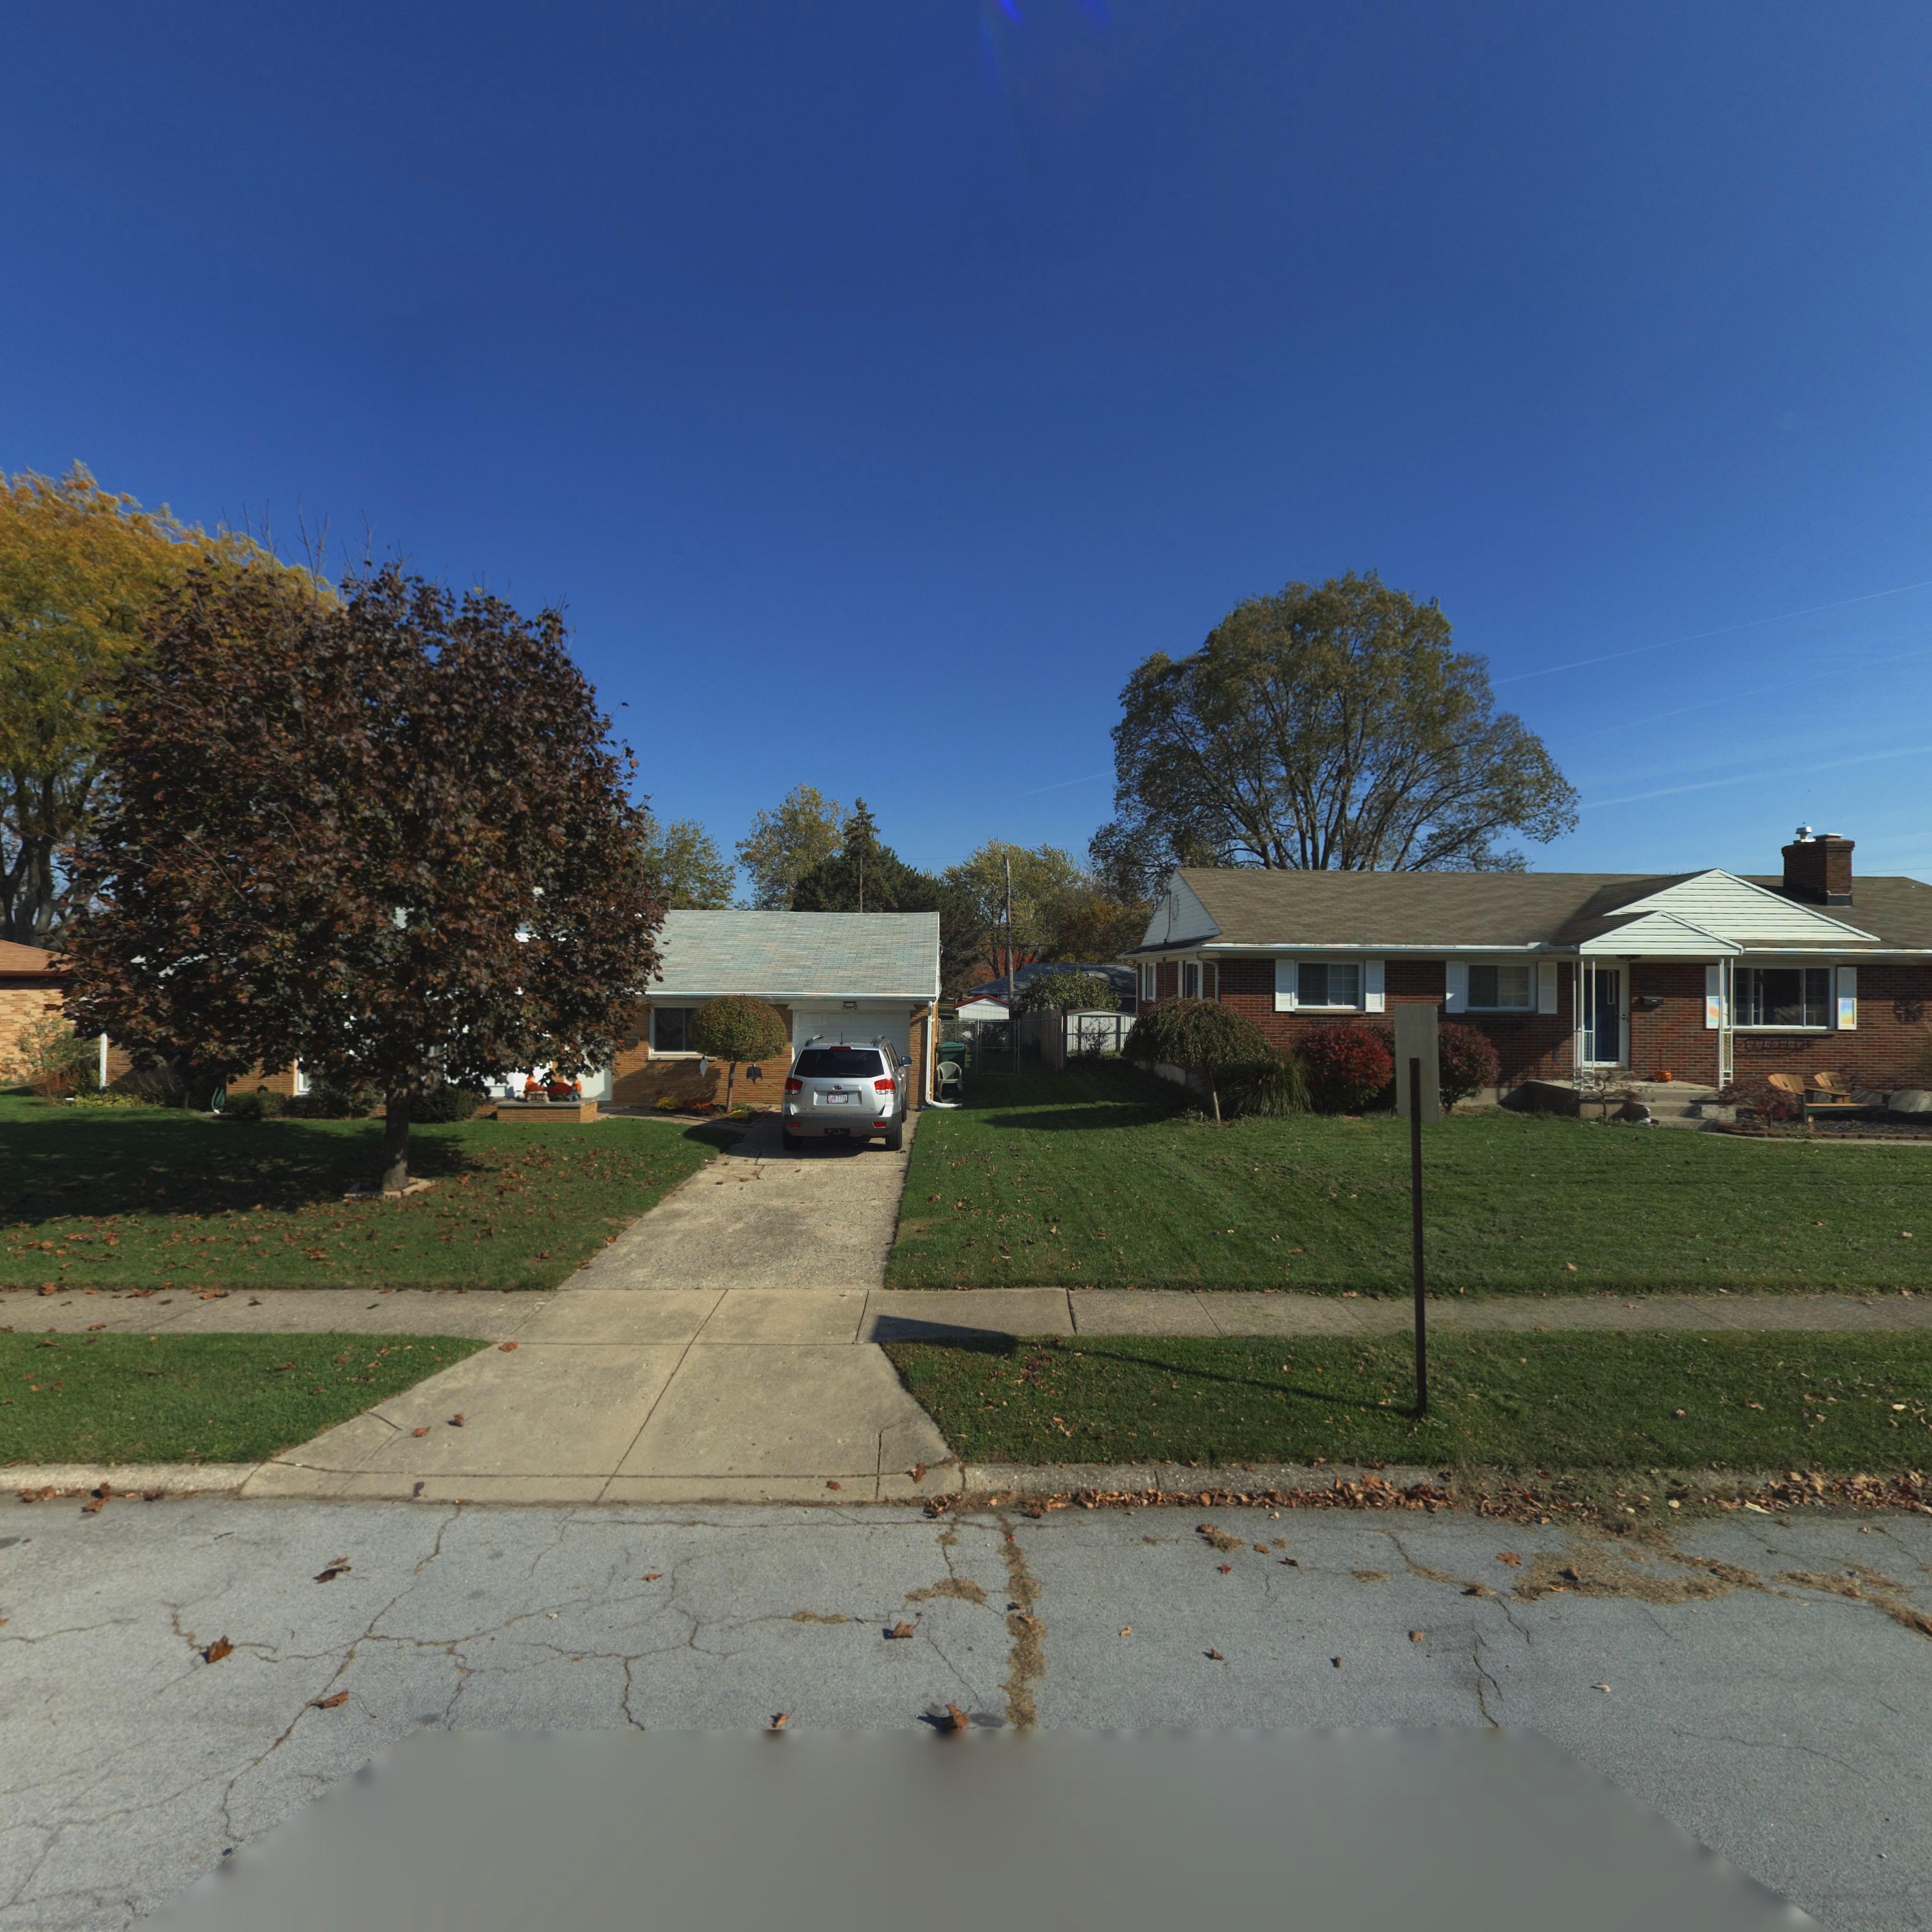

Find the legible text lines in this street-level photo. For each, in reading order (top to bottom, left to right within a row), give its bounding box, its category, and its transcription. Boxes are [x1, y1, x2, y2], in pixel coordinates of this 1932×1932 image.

[829, 1095, 846, 1101] None: *** 7779